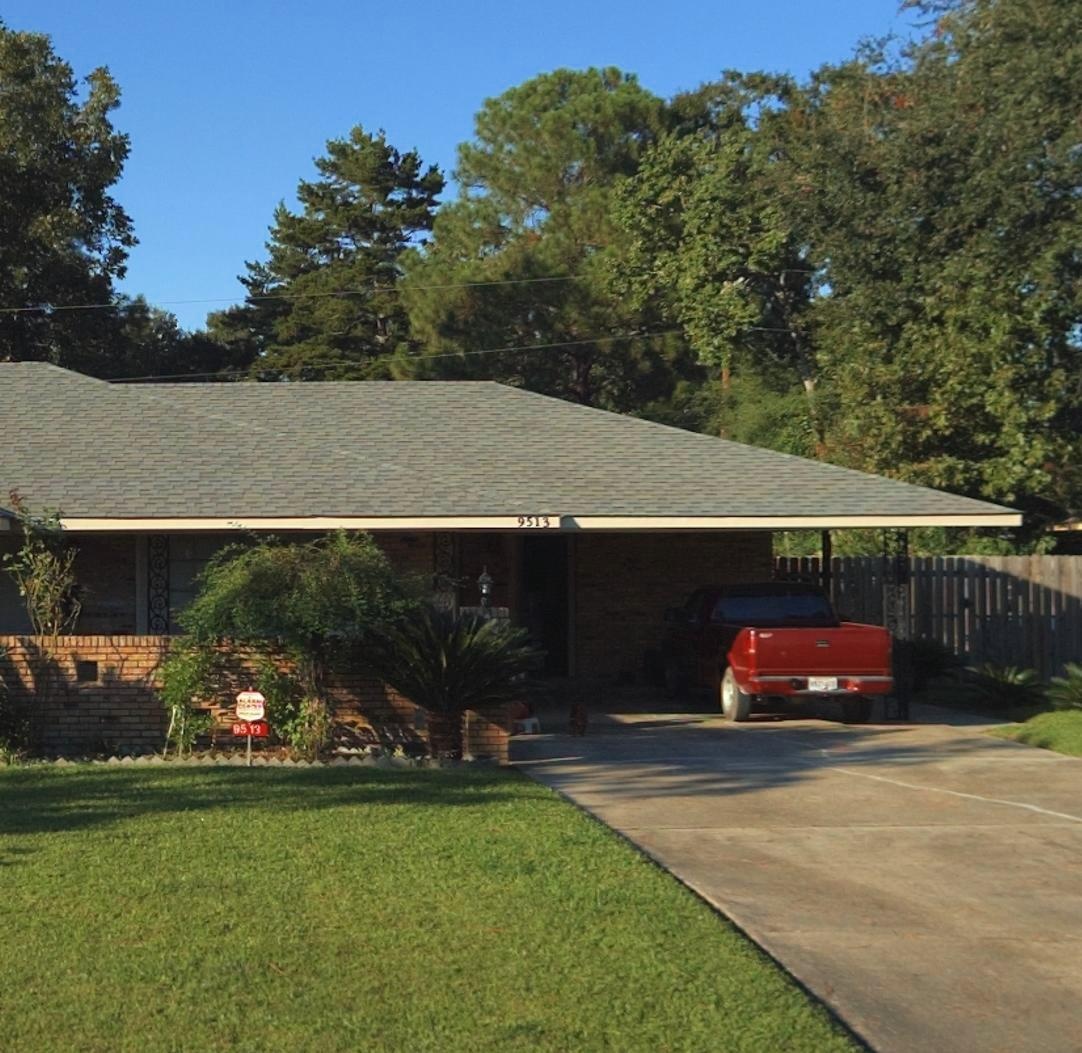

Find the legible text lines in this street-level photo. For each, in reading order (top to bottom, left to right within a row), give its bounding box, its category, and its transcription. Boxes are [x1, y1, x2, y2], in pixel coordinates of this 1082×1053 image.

[517, 515, 552, 529] StreetNumber: 9513
[232, 723, 262, 735] StreetNumber: *513